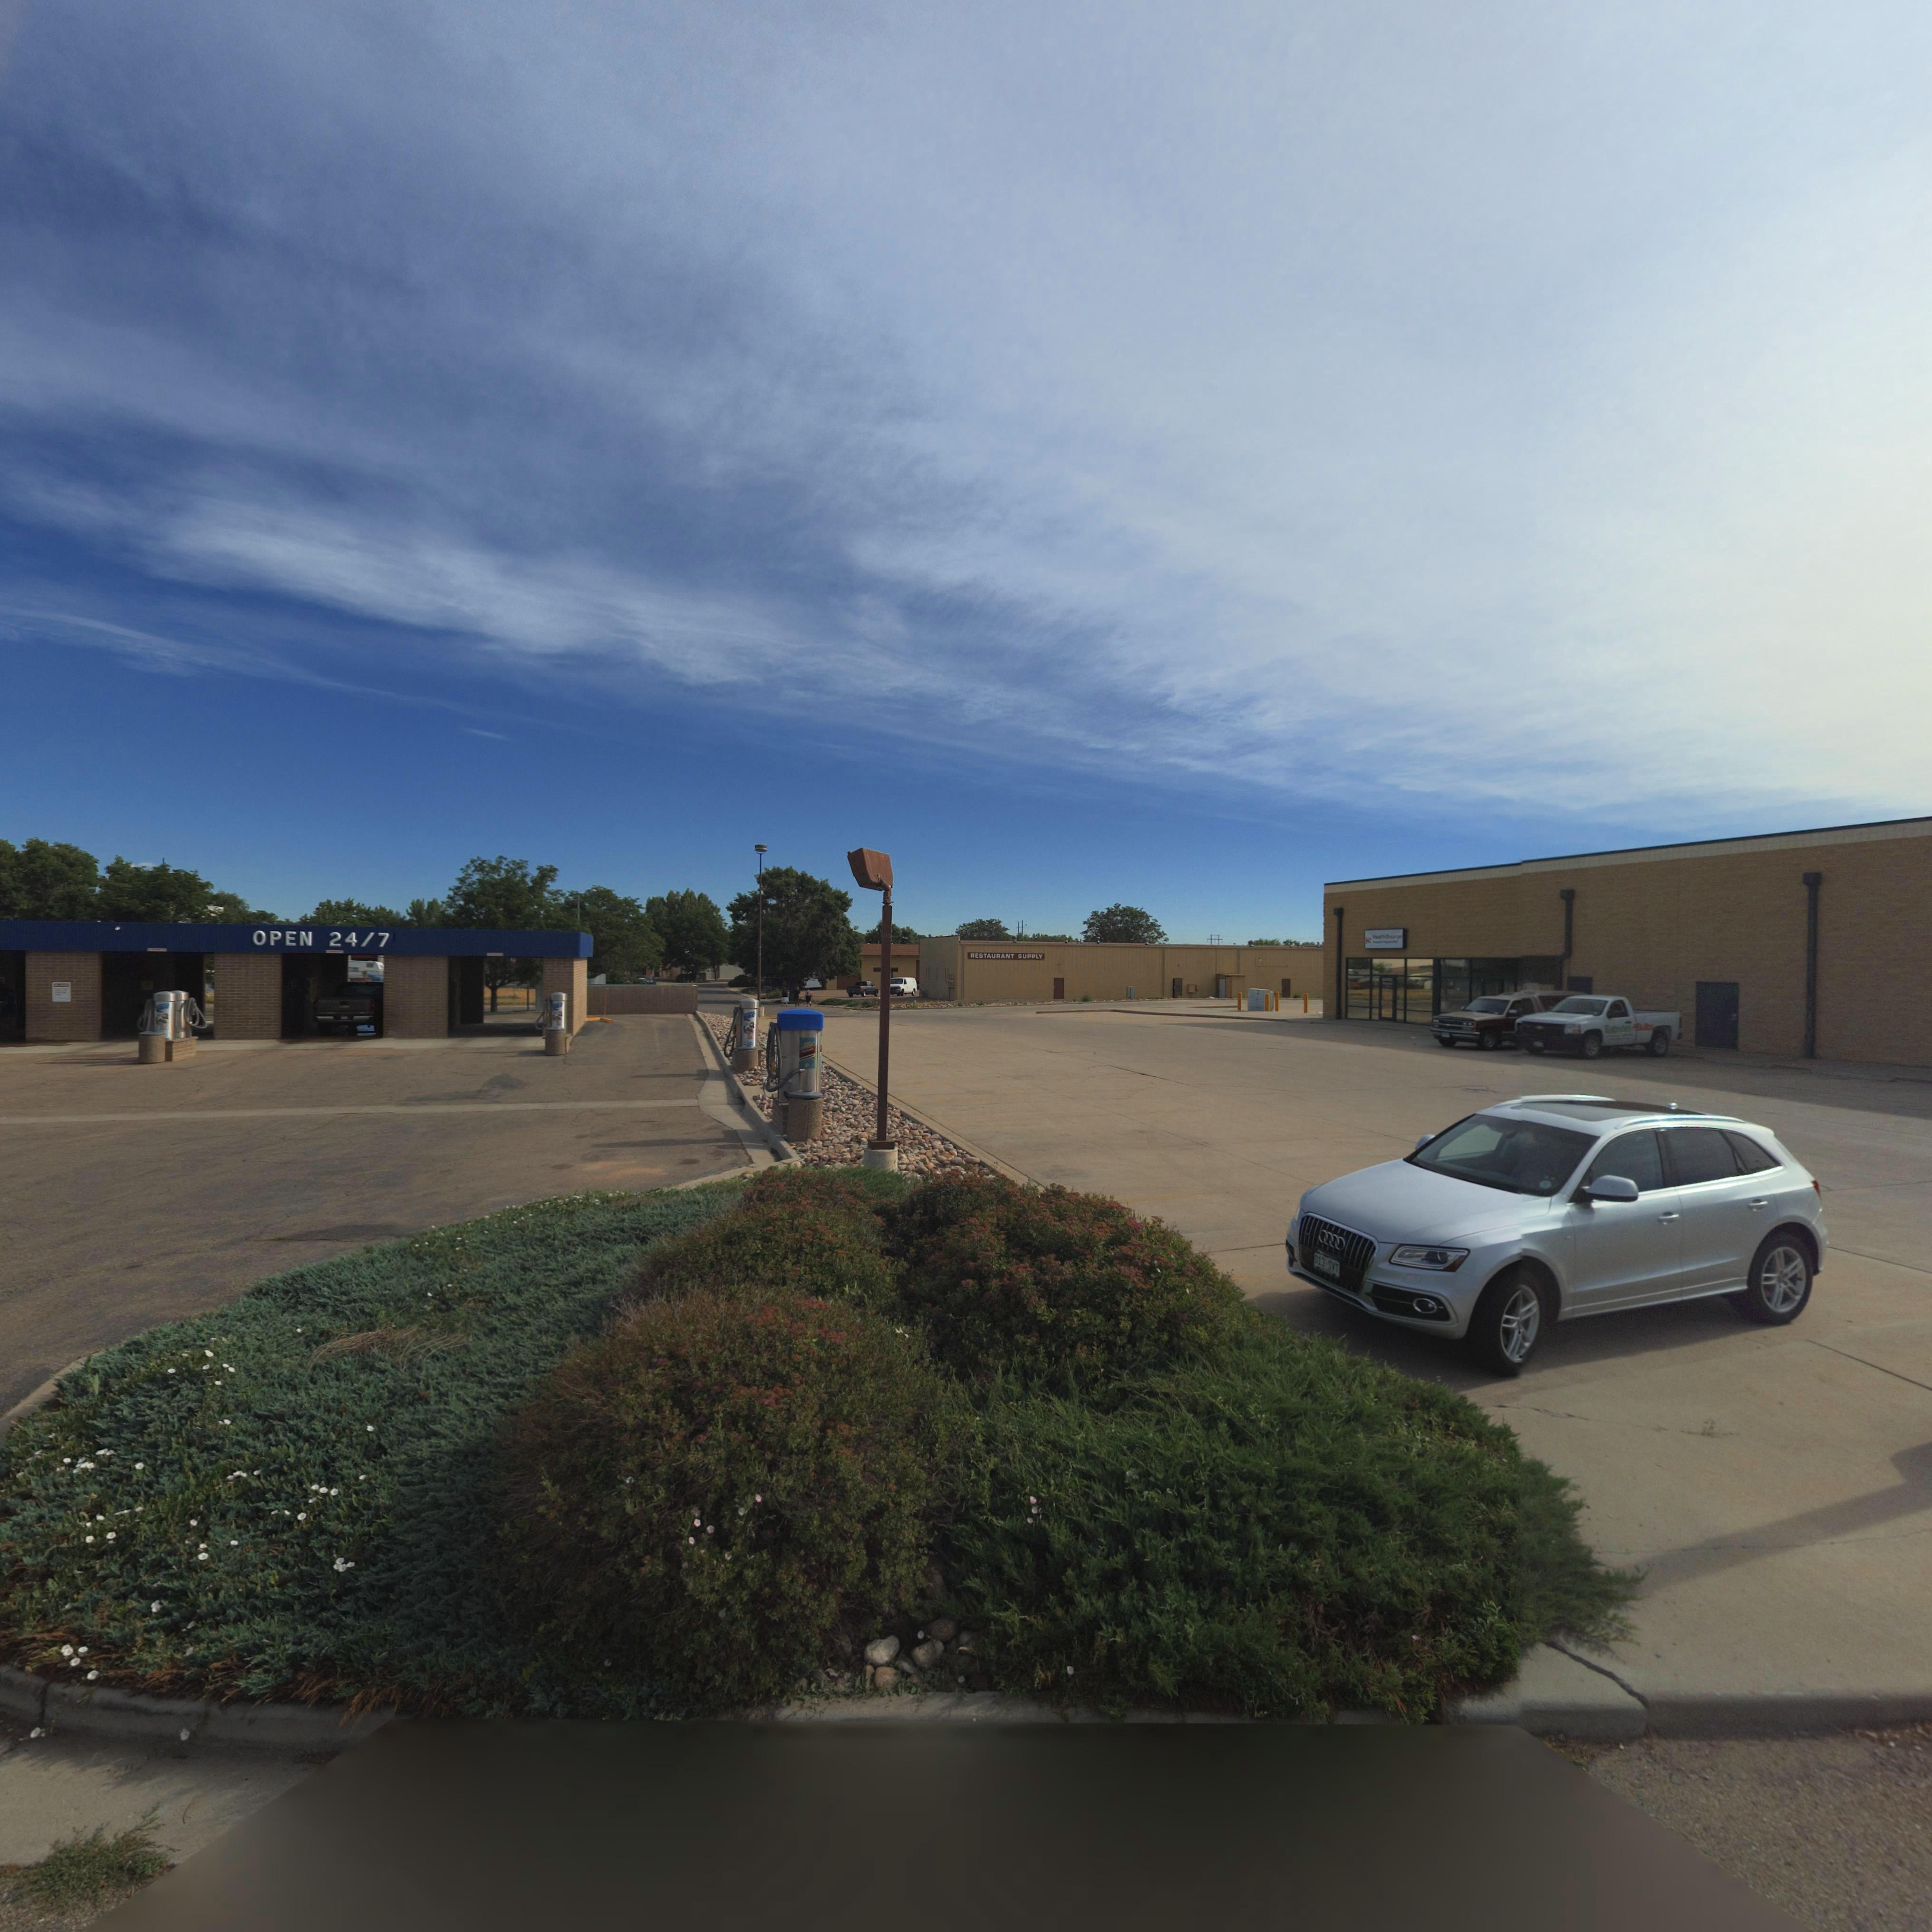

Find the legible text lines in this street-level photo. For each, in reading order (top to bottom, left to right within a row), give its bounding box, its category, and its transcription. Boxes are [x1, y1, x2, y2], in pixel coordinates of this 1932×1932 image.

[1372, 934, 1401, 940] BusinessName: Ke****Source